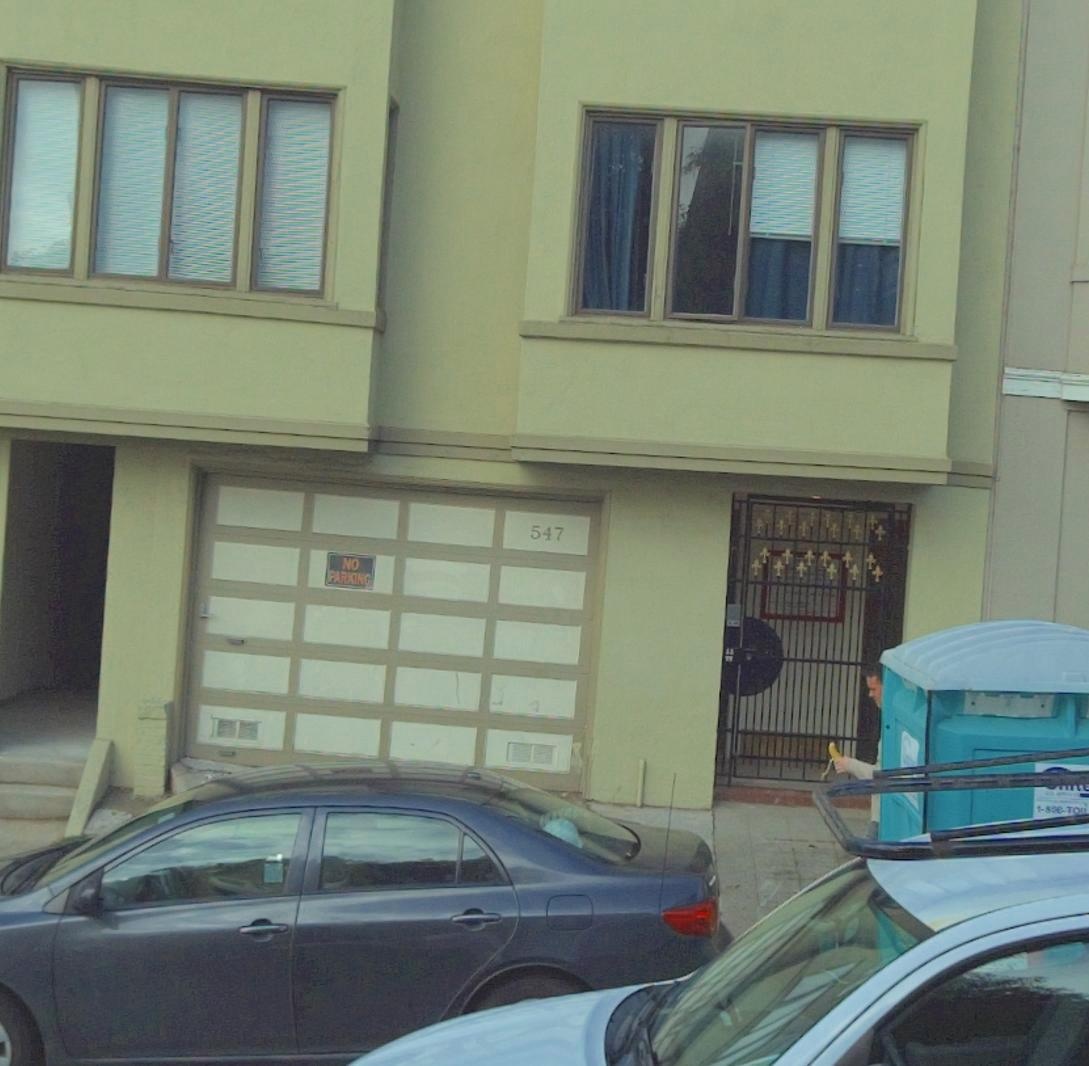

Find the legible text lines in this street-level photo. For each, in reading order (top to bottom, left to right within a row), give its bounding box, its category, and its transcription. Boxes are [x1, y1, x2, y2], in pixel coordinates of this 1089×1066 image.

[527, 523, 567, 545] StreetNumber: 547
[339, 554, 362, 573] None: NO
[325, 568, 374, 589] None: PARKING